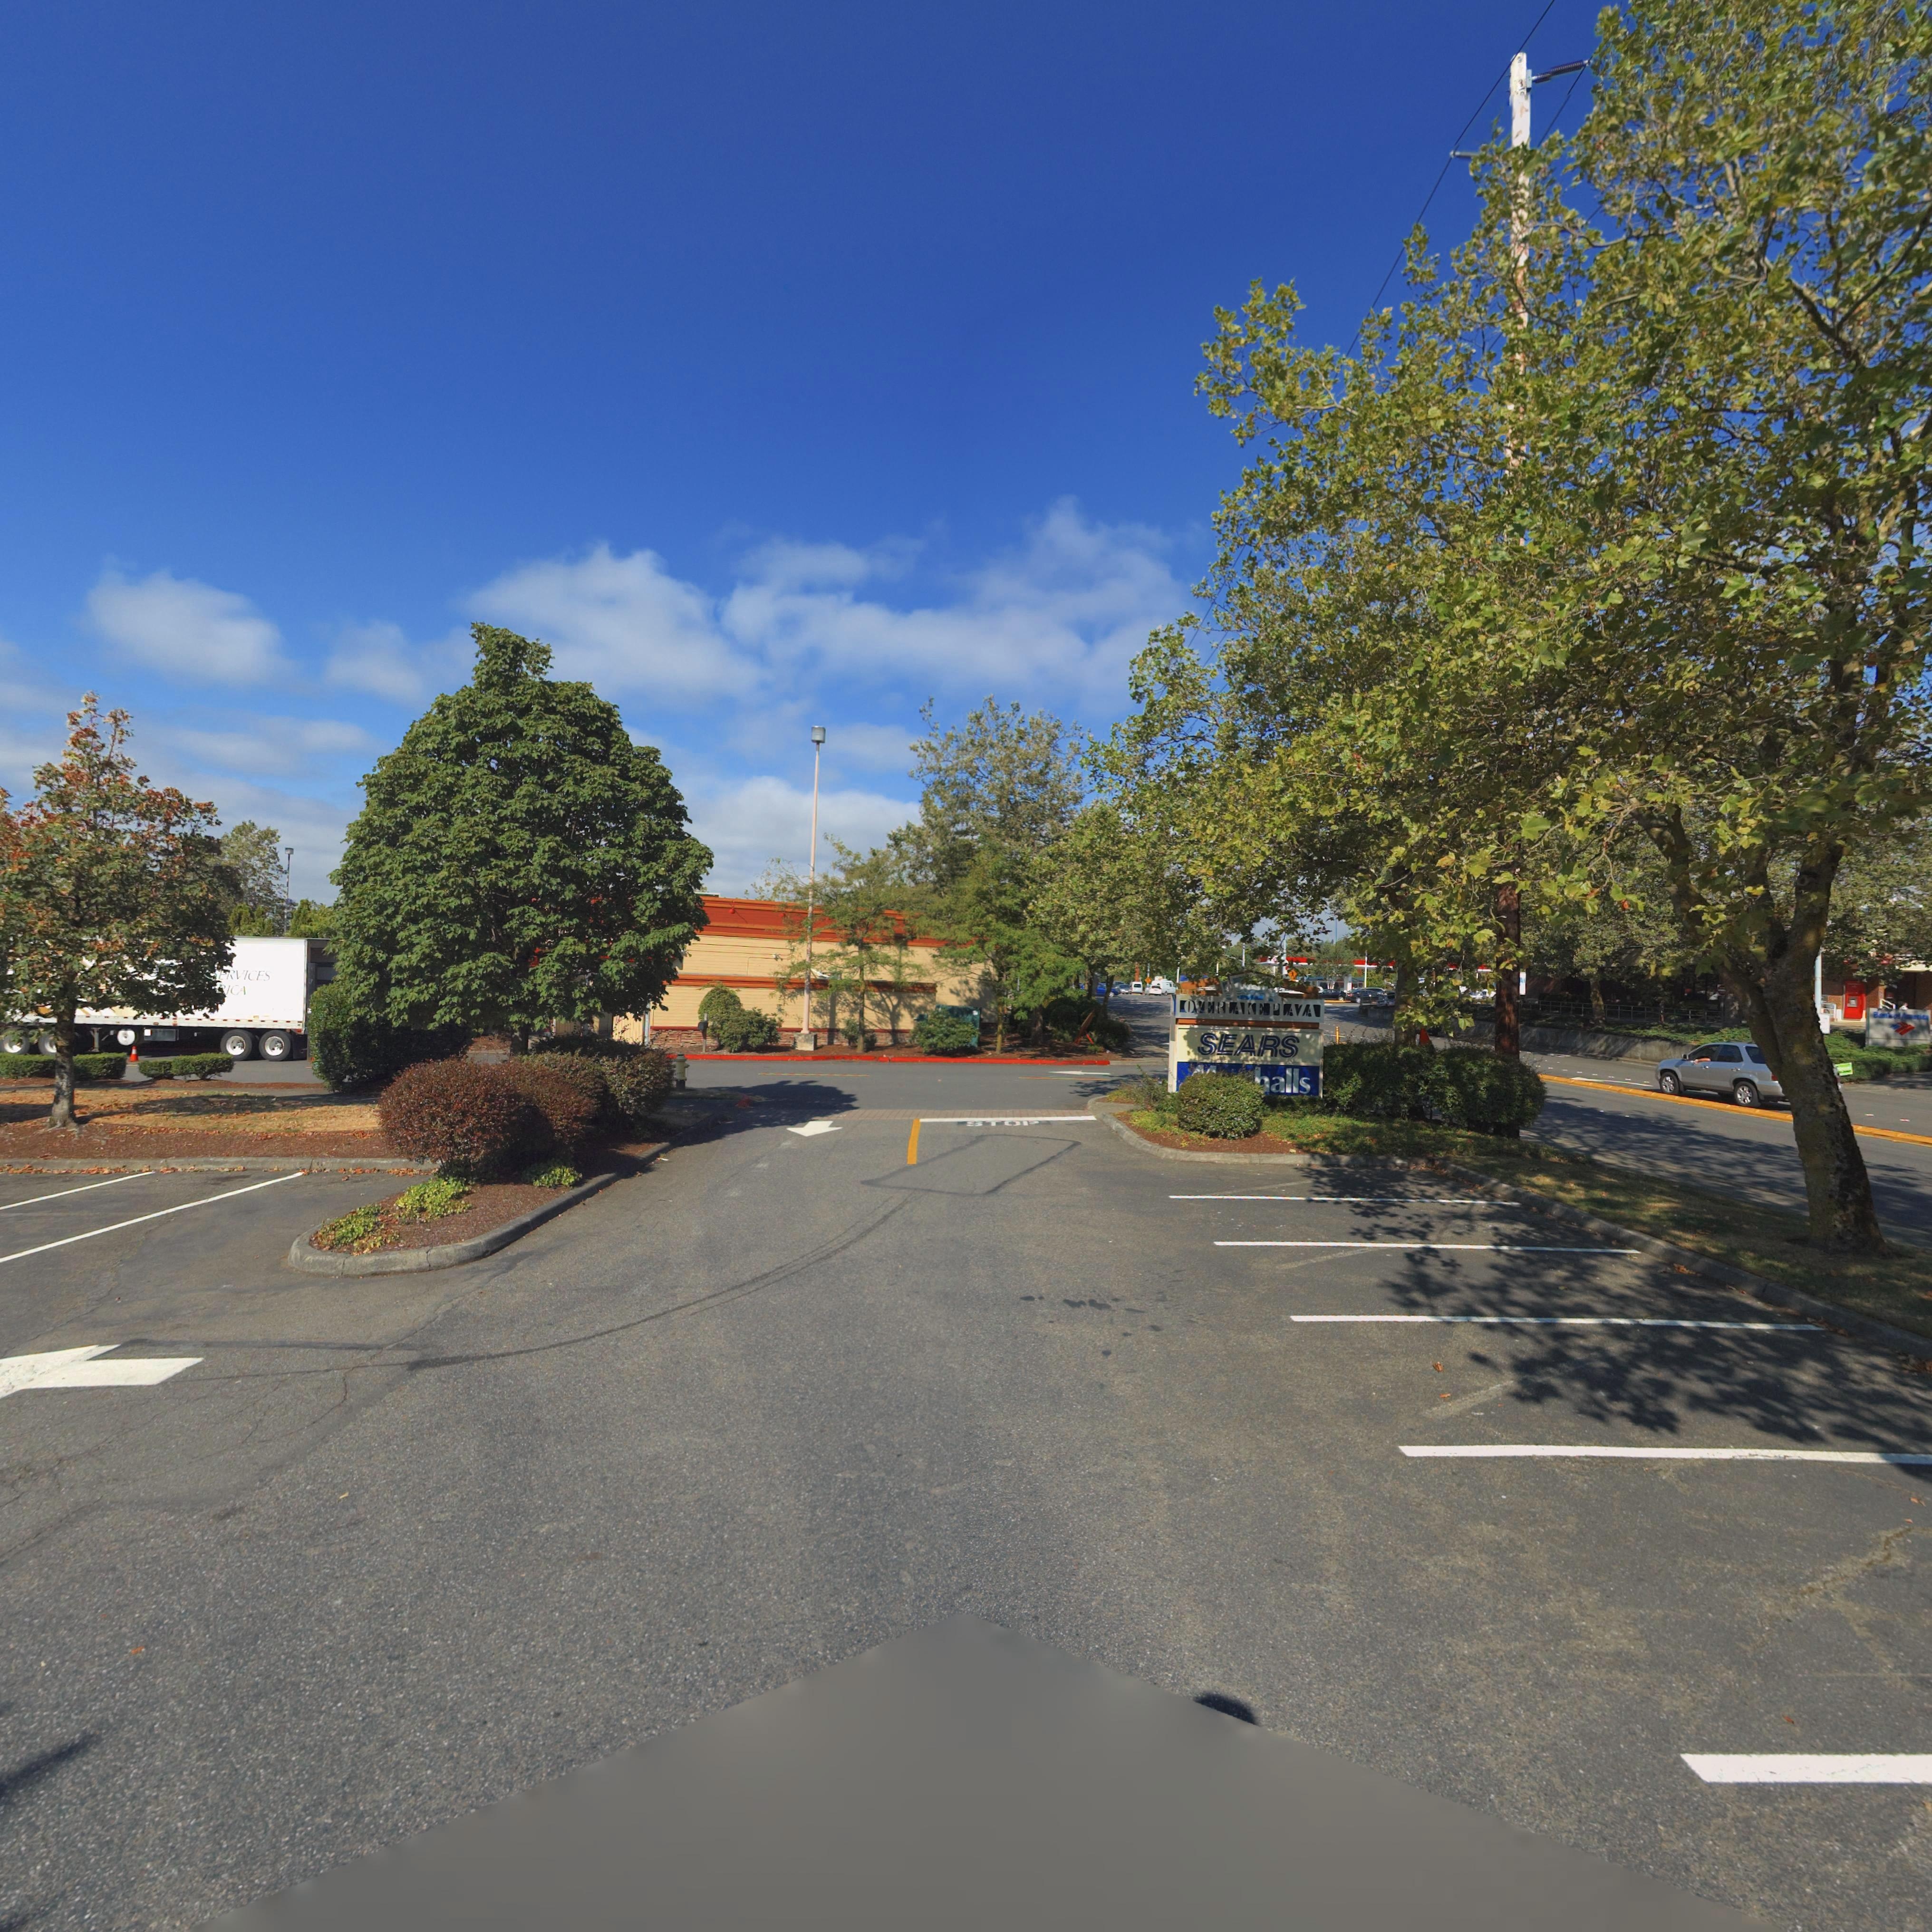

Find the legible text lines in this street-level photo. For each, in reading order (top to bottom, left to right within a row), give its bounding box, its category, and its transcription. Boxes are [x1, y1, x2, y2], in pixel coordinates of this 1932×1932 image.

[1197, 1032, 1299, 1058] BusinessName: SEARS
[1253, 1065, 1311, 1094] BusinessName: *alls